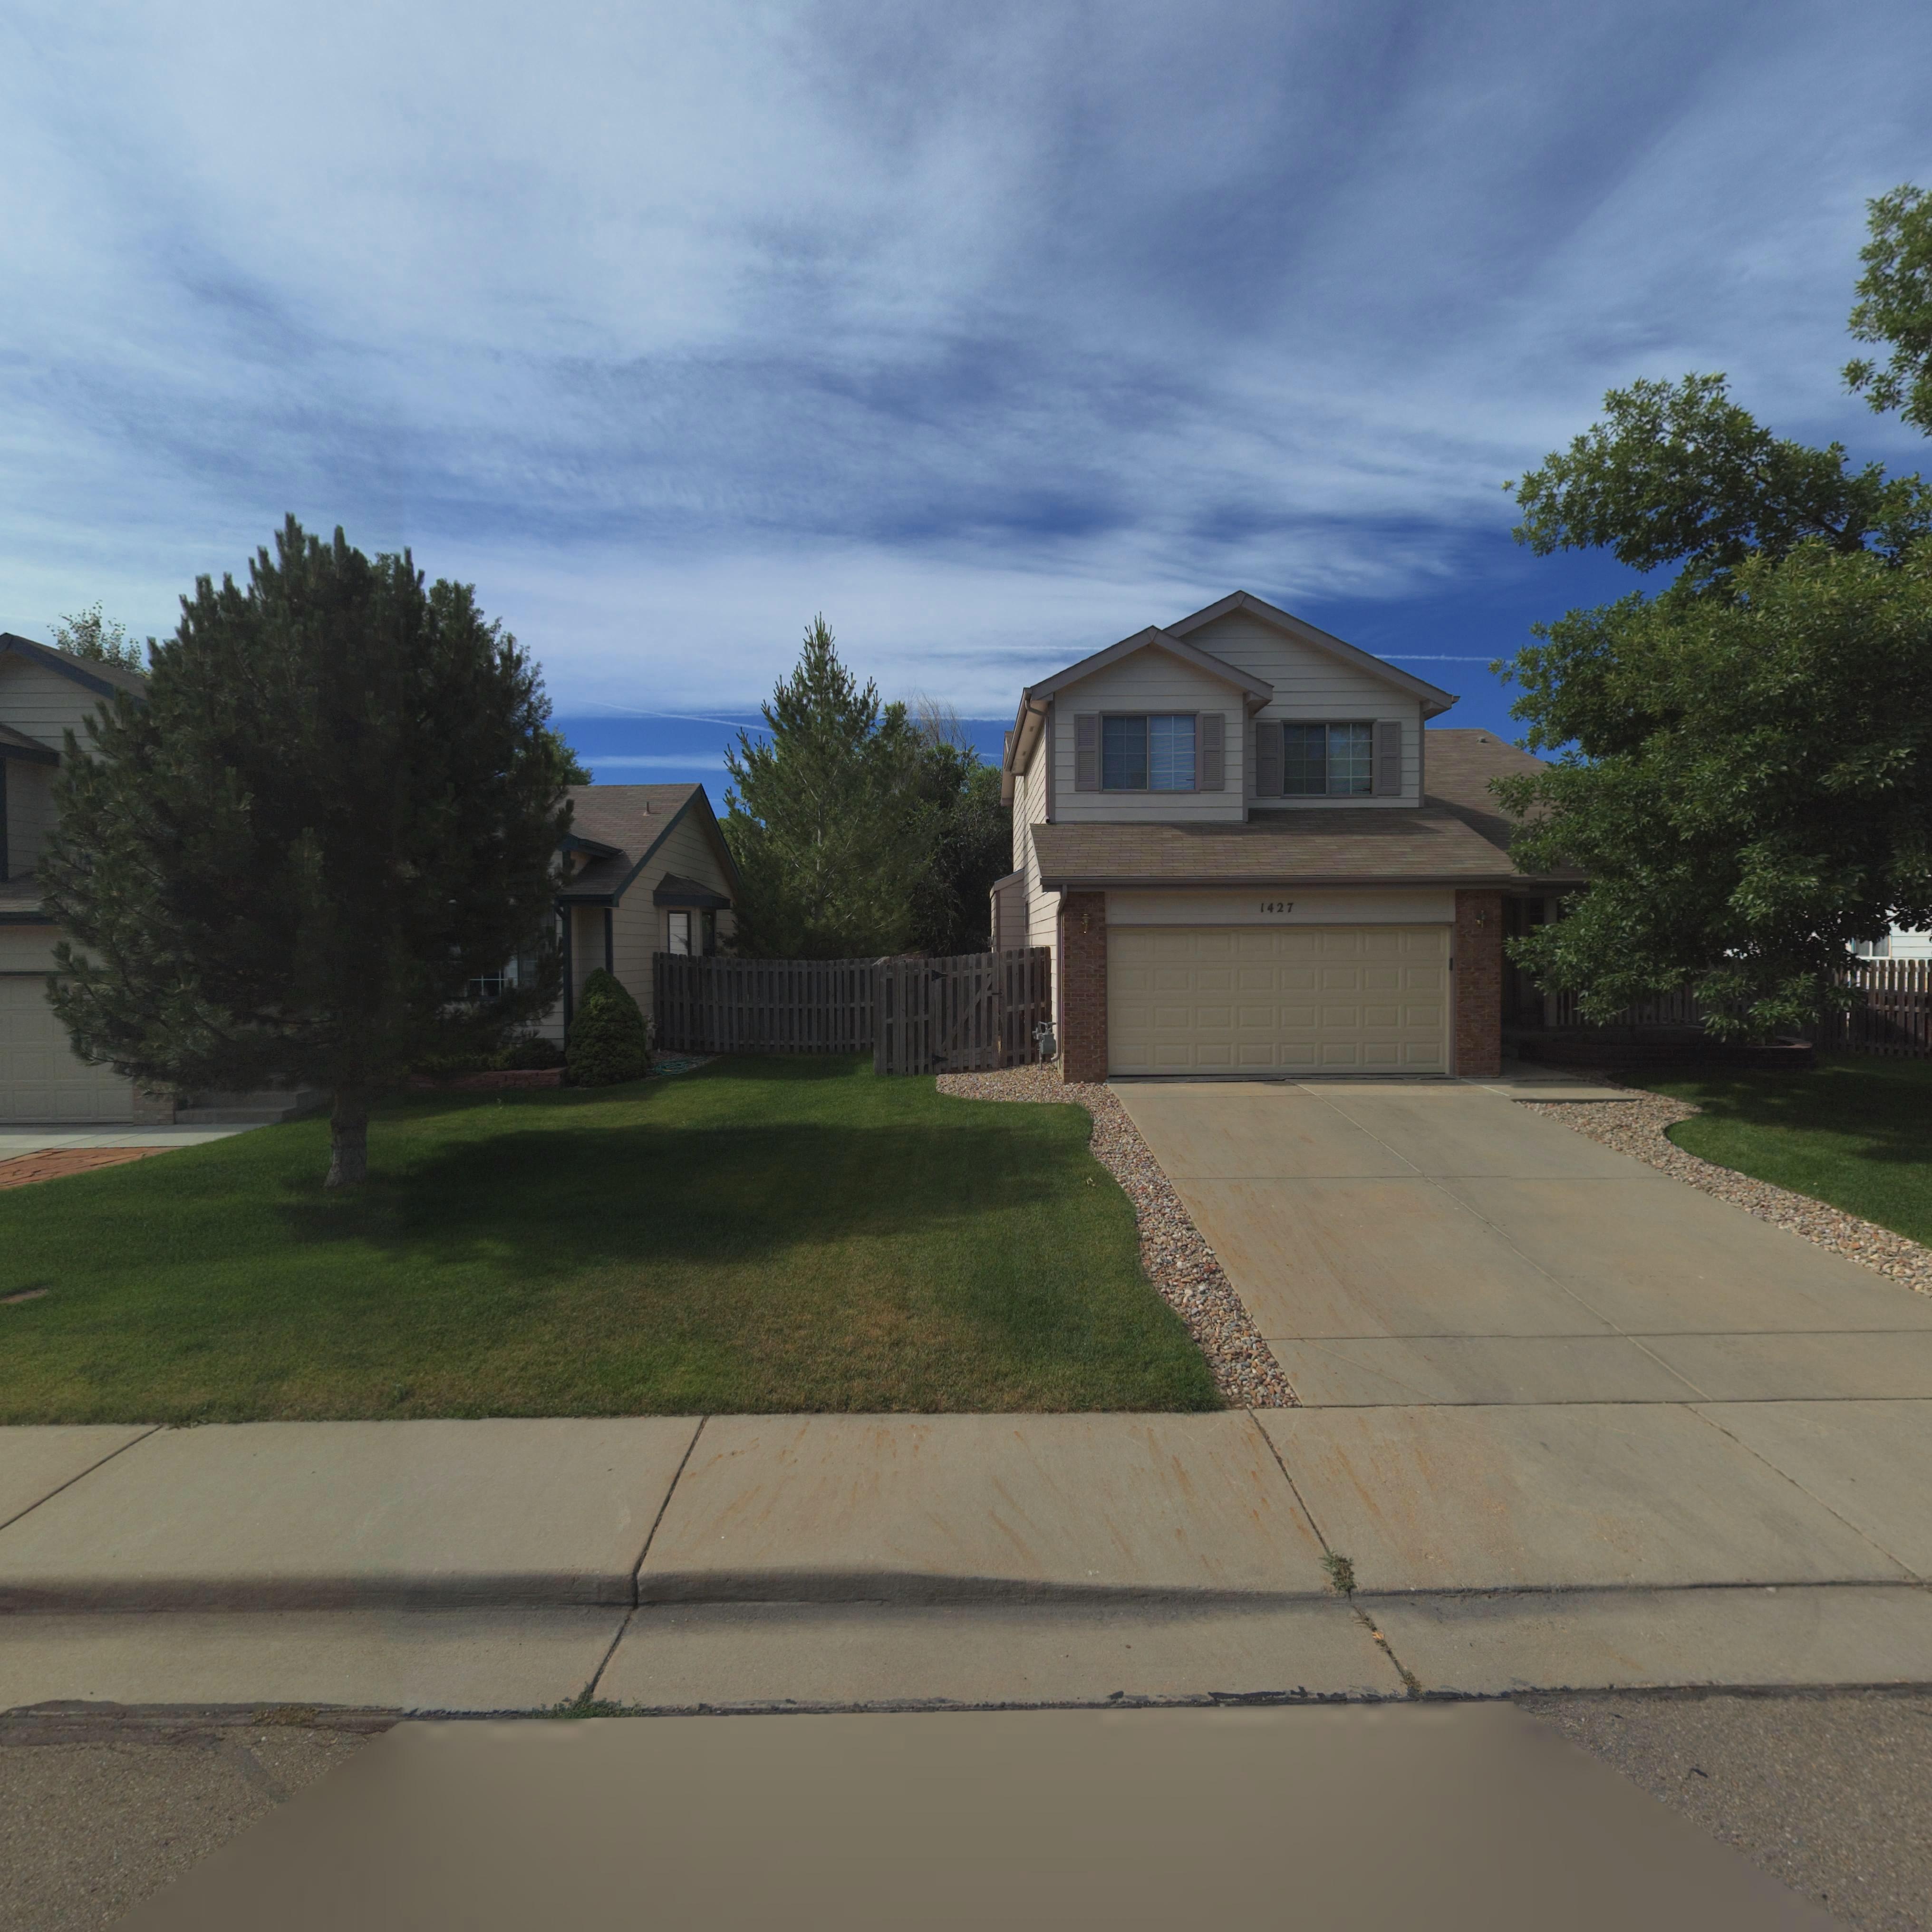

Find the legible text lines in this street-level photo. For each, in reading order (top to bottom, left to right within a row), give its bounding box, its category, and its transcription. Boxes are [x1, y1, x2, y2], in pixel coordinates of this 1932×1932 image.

[1260, 901, 1294, 913] StreetNumber: 1427